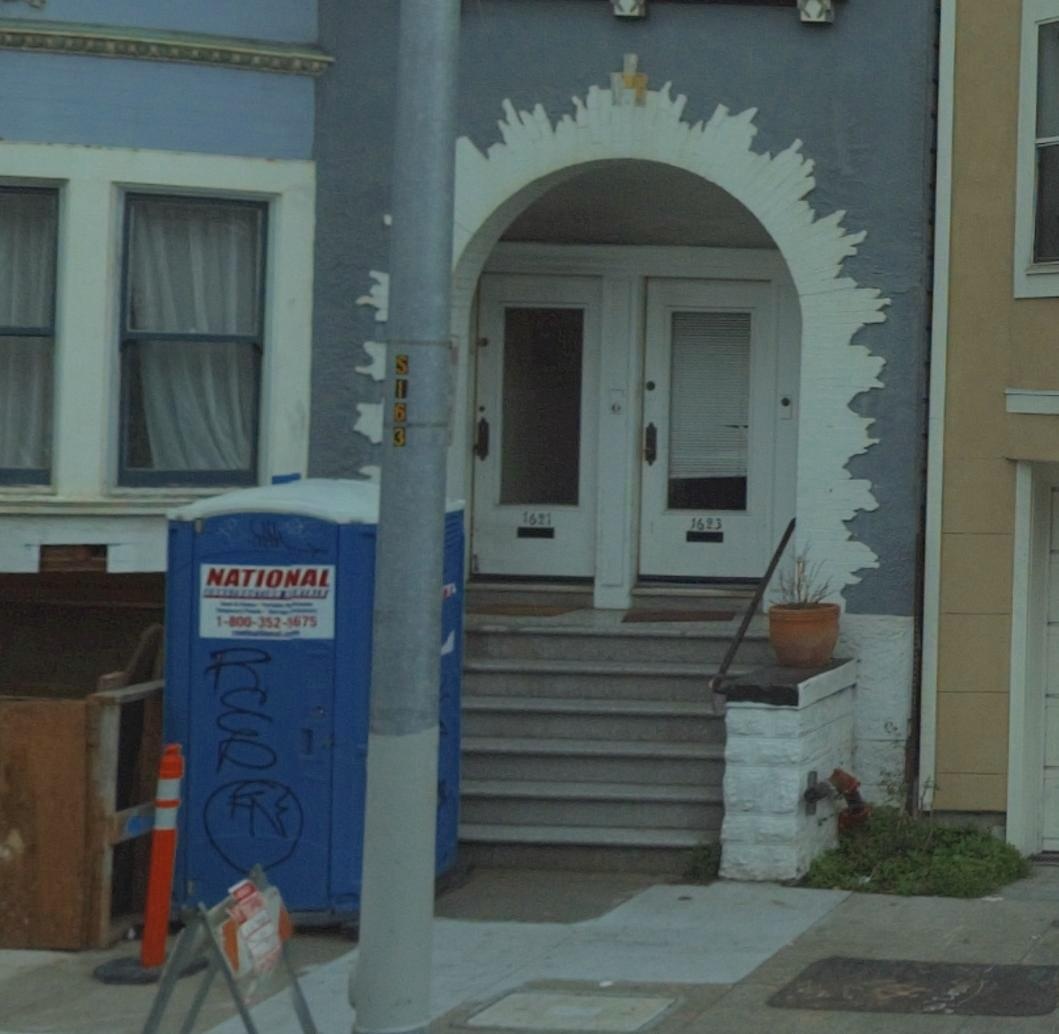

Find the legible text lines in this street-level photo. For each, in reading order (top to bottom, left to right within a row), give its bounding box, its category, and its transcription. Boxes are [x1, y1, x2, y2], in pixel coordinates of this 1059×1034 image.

[391, 354, 410, 448] None: S163
[520, 509, 553, 527] StreetNumber: 1621
[688, 515, 722, 531] StreetNumber: 1623
[203, 565, 332, 590] None: NATIONAL
[214, 613, 321, 629] None: 1-800-353-5675